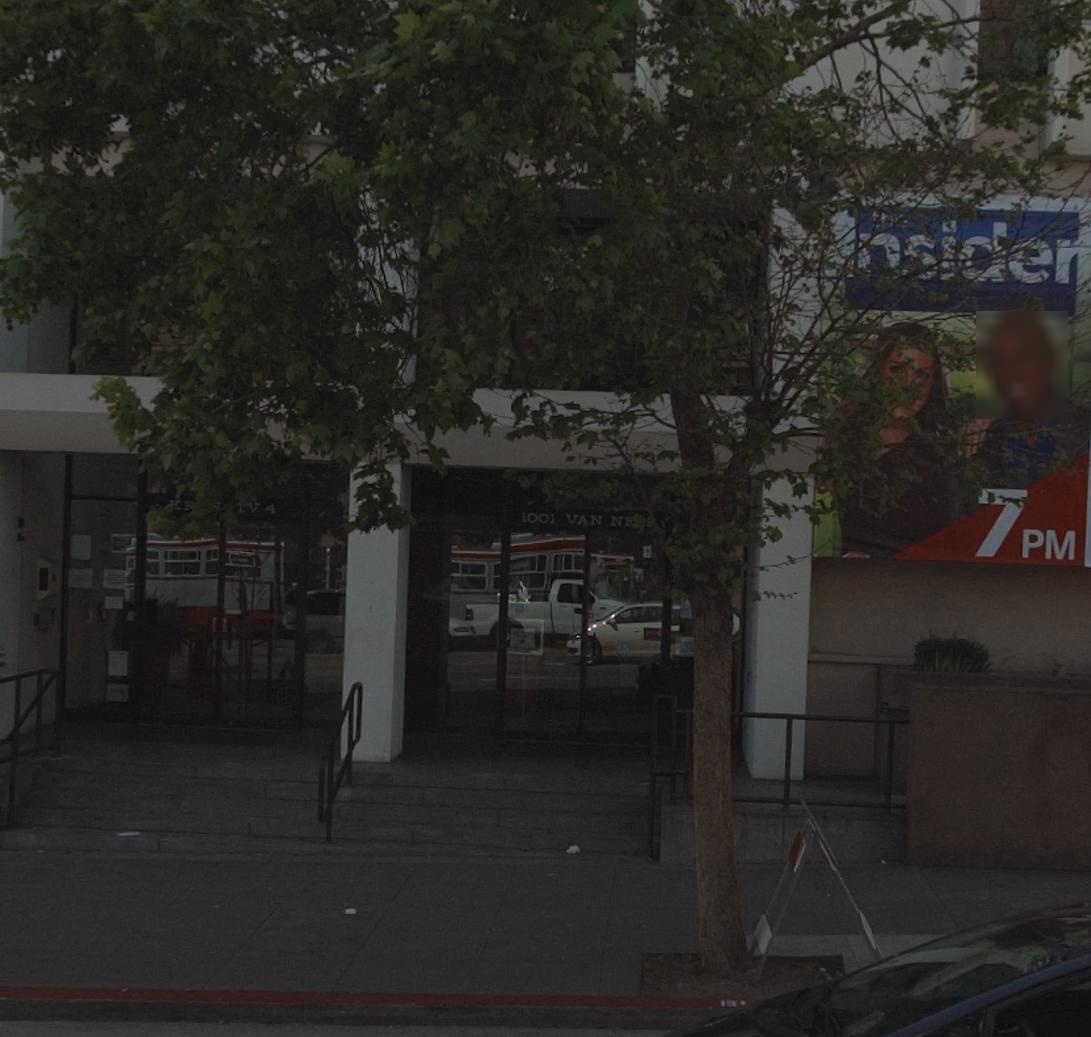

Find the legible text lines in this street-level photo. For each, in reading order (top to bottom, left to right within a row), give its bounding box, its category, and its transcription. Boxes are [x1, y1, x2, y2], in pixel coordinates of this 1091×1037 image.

[519, 509, 557, 527] StreetNumber: 1001
[563, 511, 634, 529] StreetName: VAN NE
[973, 485, 1076, 562] None: 7PM